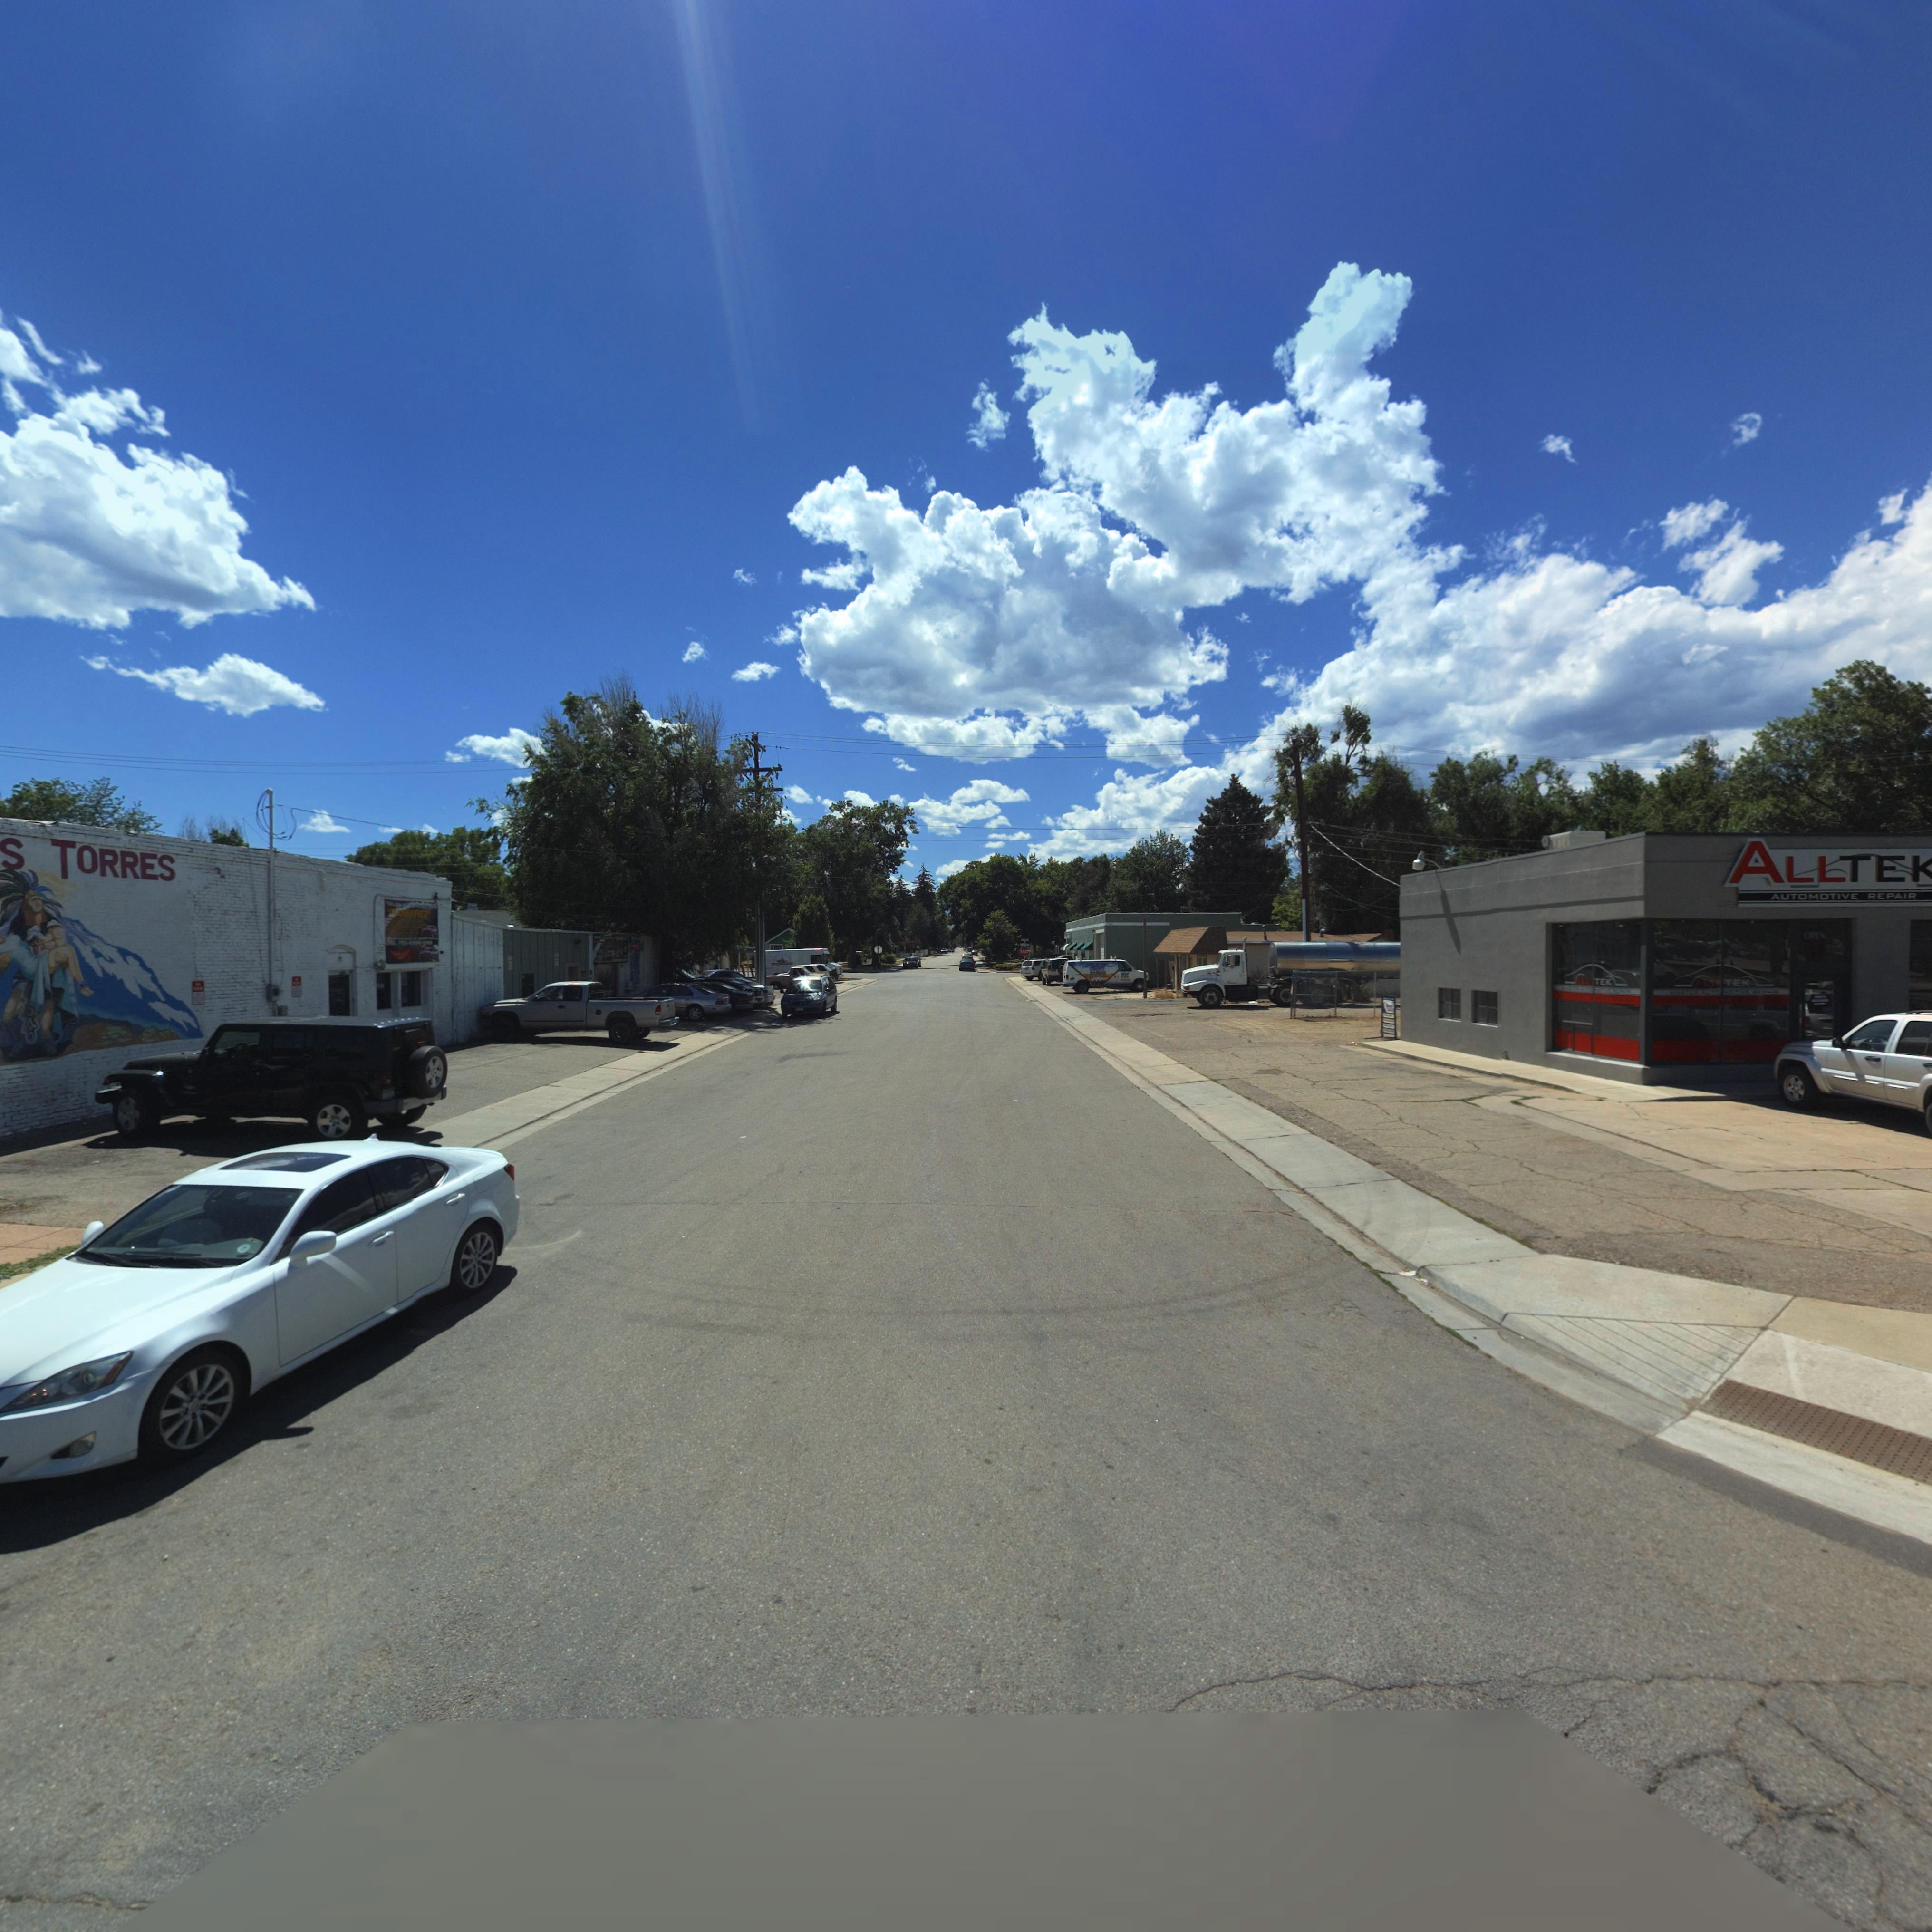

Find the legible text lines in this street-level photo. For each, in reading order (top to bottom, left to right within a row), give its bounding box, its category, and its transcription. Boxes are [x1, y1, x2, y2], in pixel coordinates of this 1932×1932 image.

[1, 836, 176, 882] BusinessName: S TORRES
[1725, 839, 1921, 885] BusinessName: ALLTE*
[1575, 977, 1612, 986] BusinessName: ALL TEK
[1695, 978, 1750, 986] BusinessName: *** TEK